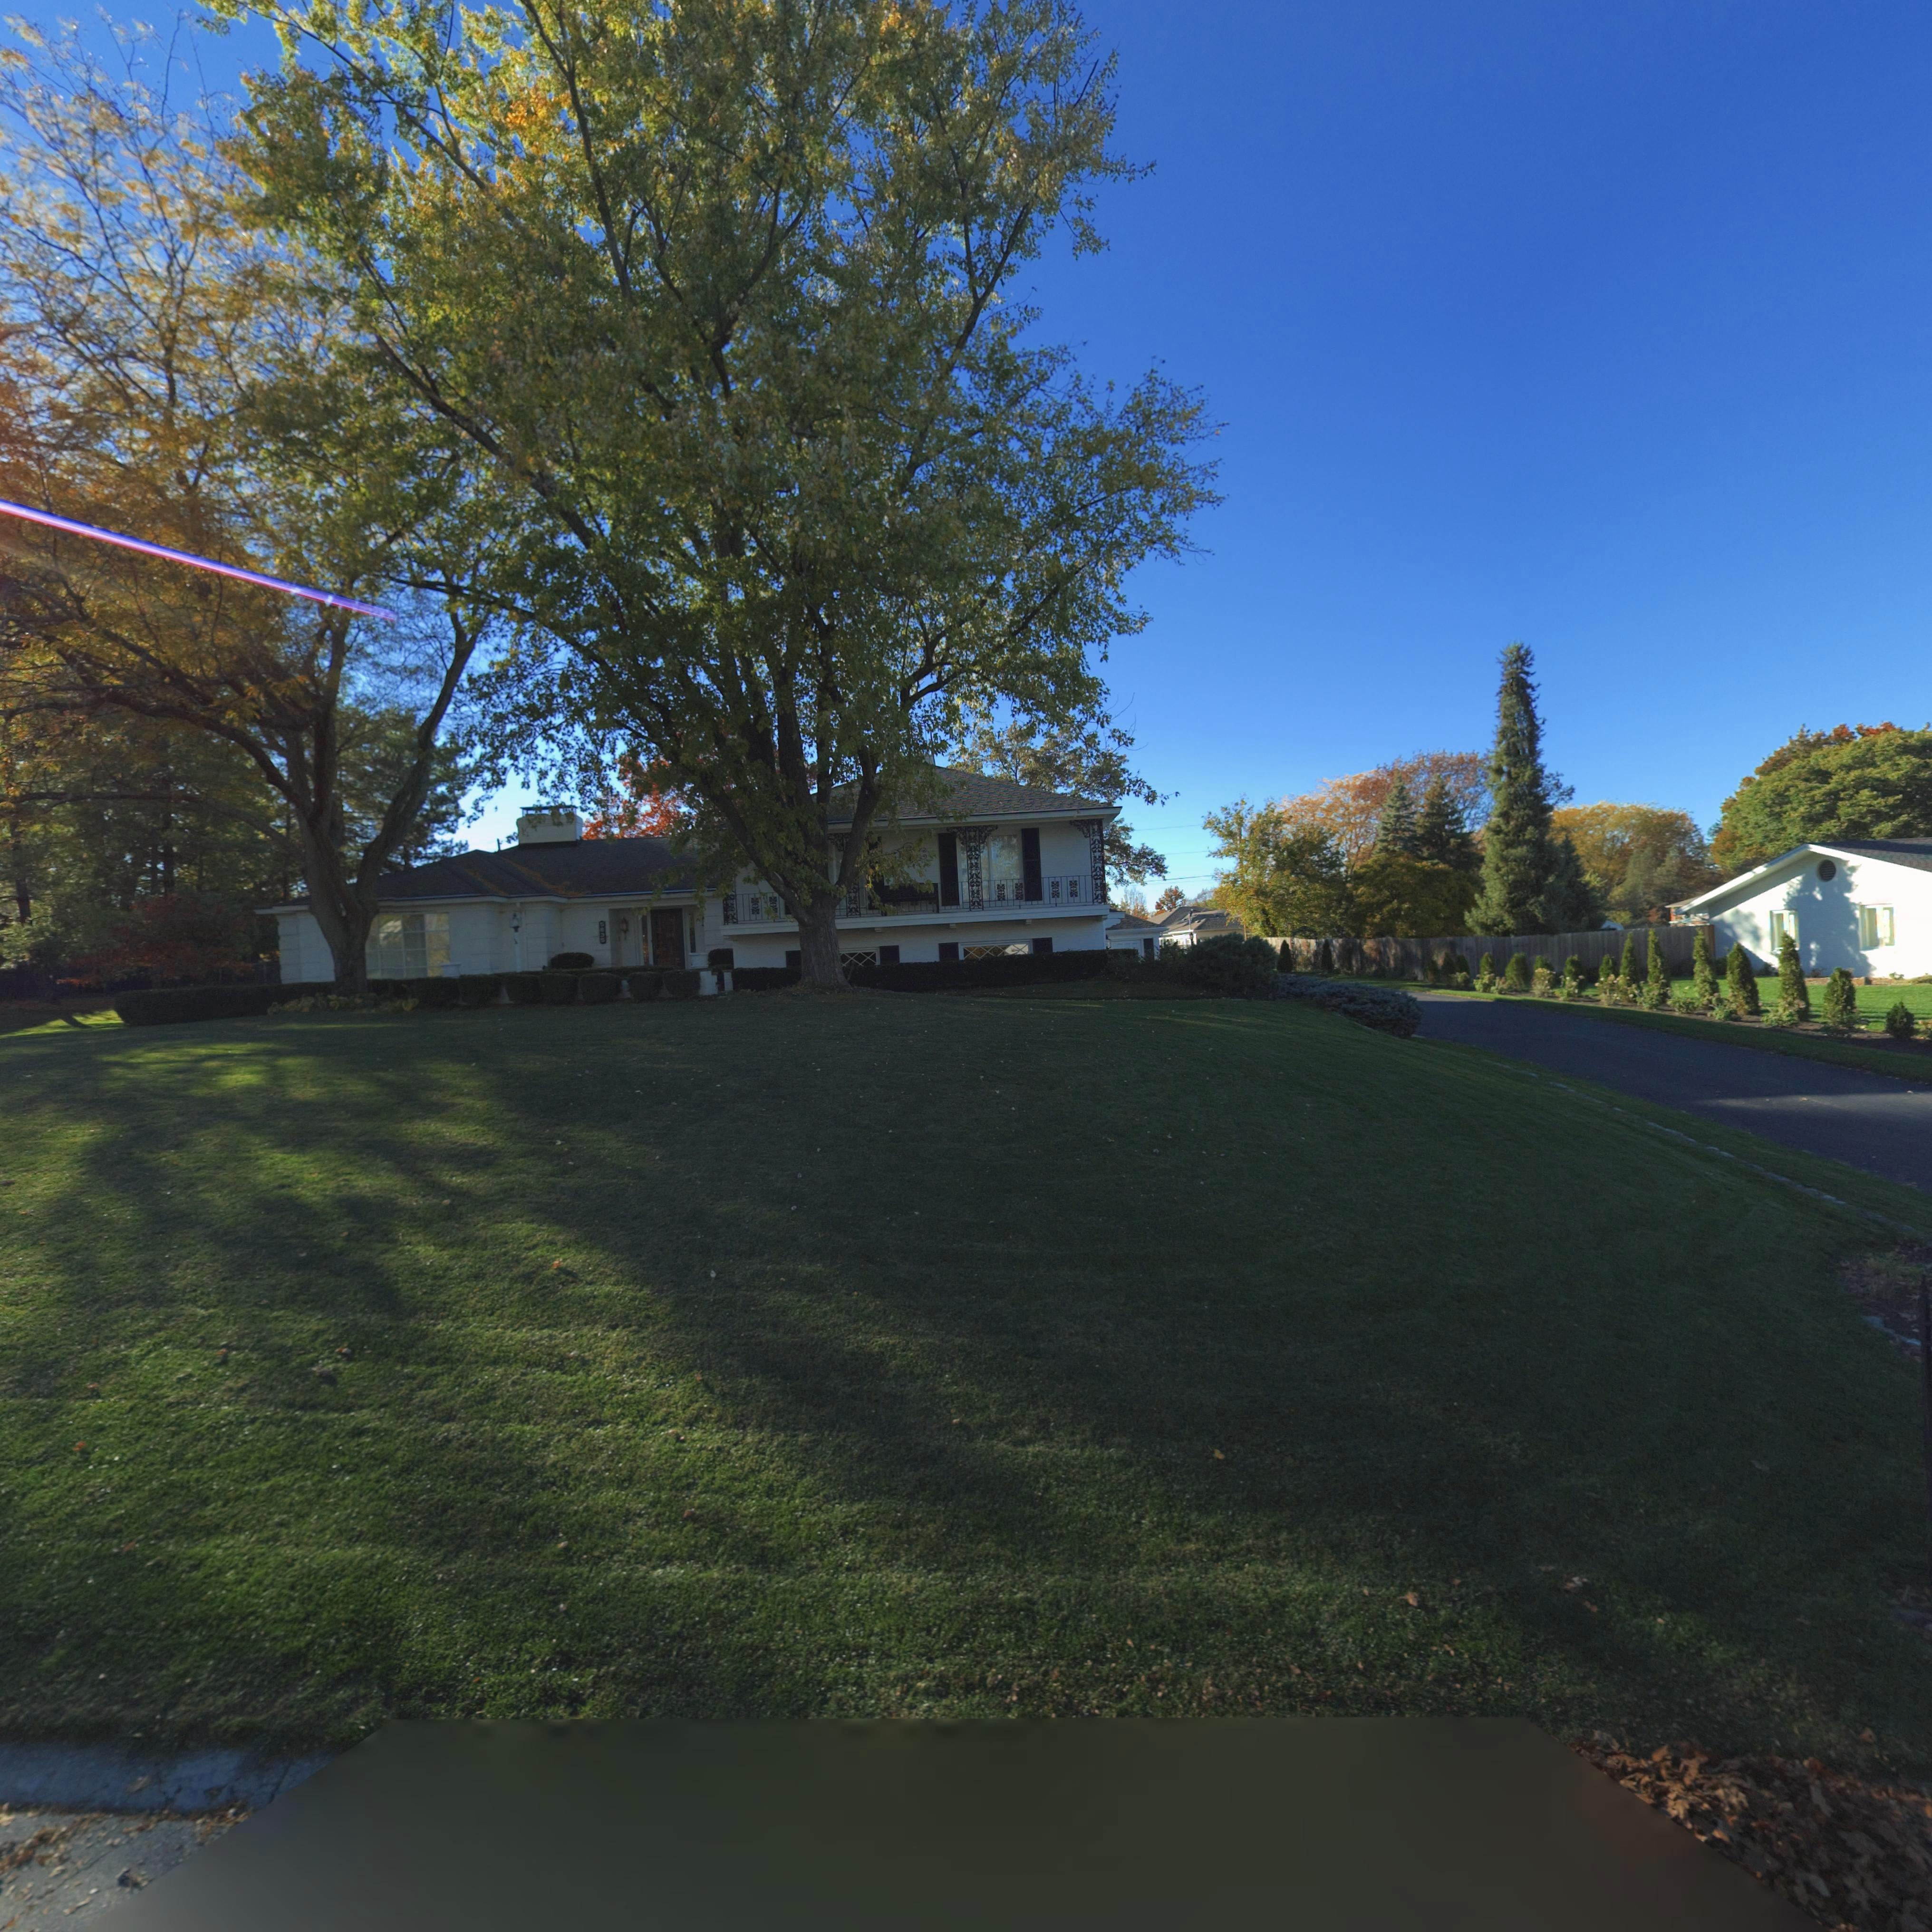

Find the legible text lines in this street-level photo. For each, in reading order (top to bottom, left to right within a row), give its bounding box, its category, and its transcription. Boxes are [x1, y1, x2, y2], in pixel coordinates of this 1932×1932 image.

[599, 922, 605, 942] StreetNumber: 5835